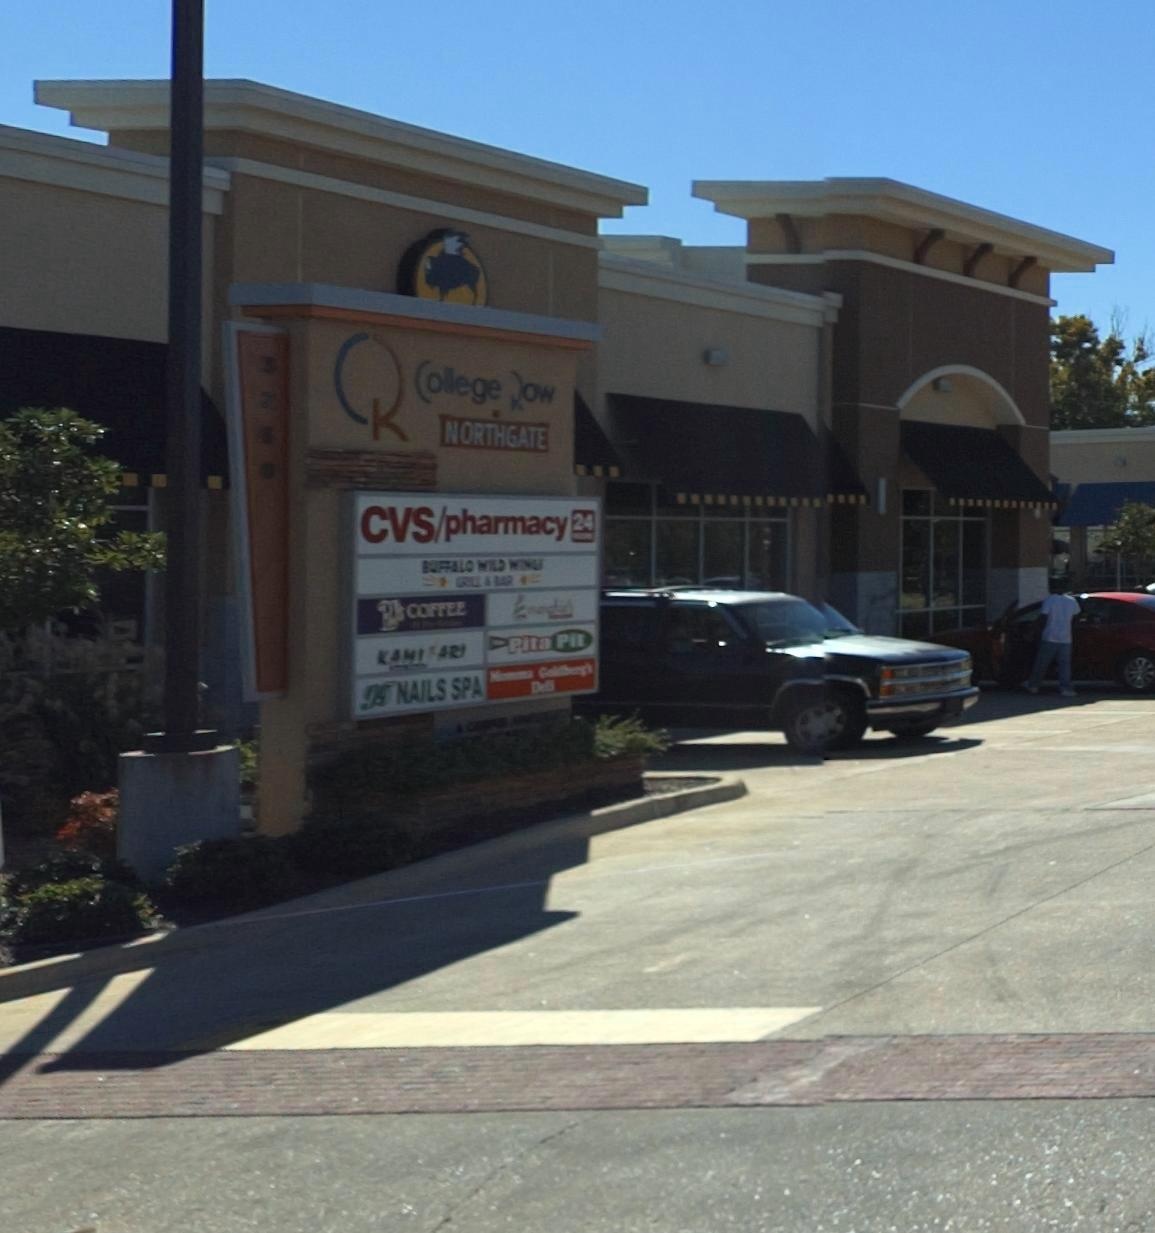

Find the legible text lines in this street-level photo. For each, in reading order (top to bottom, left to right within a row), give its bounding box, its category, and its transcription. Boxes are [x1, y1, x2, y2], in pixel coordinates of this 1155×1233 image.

[333, 331, 410, 444] None: CR
[412, 356, 558, 412] None: College Row
[257, 351, 278, 482] StreetNumber: 32**
[443, 418, 549, 453] None: NORTHGATE
[359, 504, 571, 544] BusinessName: CVS/pharmacy
[571, 511, 595, 533] None: 24
[420, 556, 546, 576] BusinessName: BUFFALO WILD WINGS
[453, 574, 516, 589] None: GRILL & BAR
[376, 598, 469, 632] BusinessName: PJ'S COFFEE
[373, 642, 468, 666] BusinessName: KANI*ARI
[507, 630, 586, 655] BusinessName: Pita Pit
[360, 674, 487, 711] BusinessName: ** NAILS SPA
[489, 660, 594, 684] BusinessName: Momma Goldberg's
[530, 679, 557, 695] BusinessName: Deli